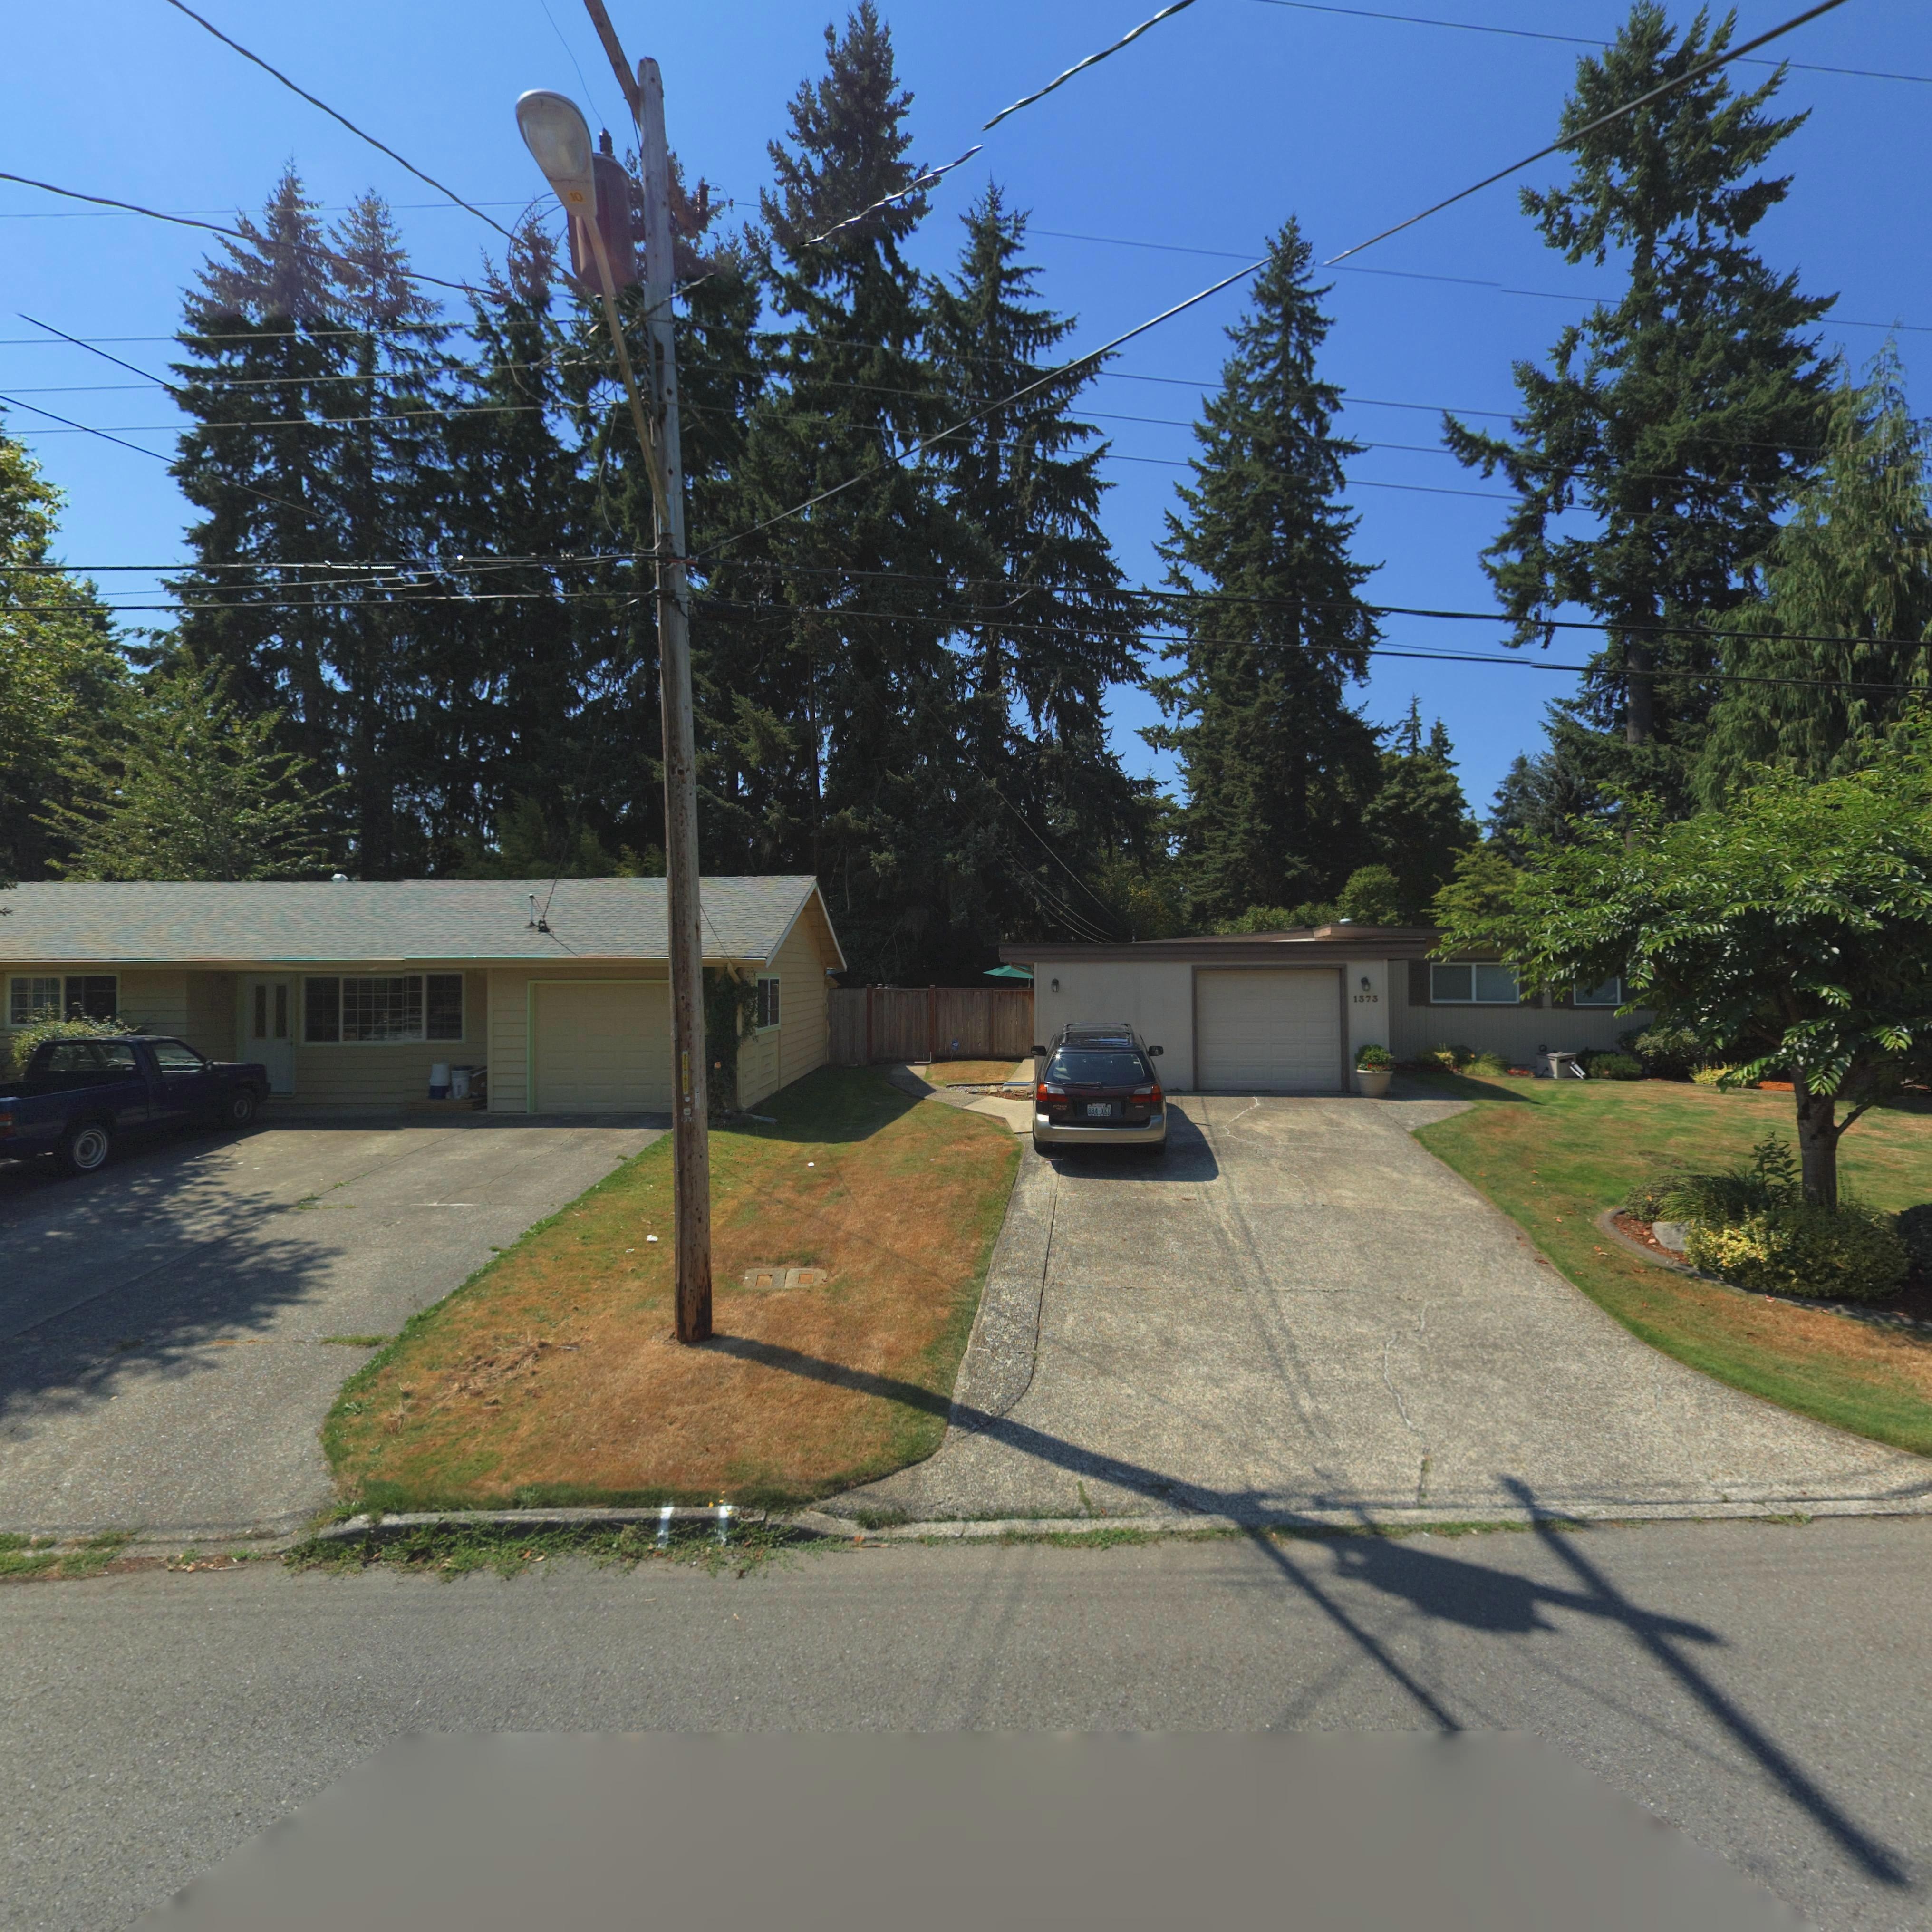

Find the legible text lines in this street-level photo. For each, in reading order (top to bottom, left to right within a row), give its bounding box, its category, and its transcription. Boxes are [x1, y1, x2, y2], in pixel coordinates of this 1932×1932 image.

[1353, 995, 1379, 1003] StreetNumber: 1373